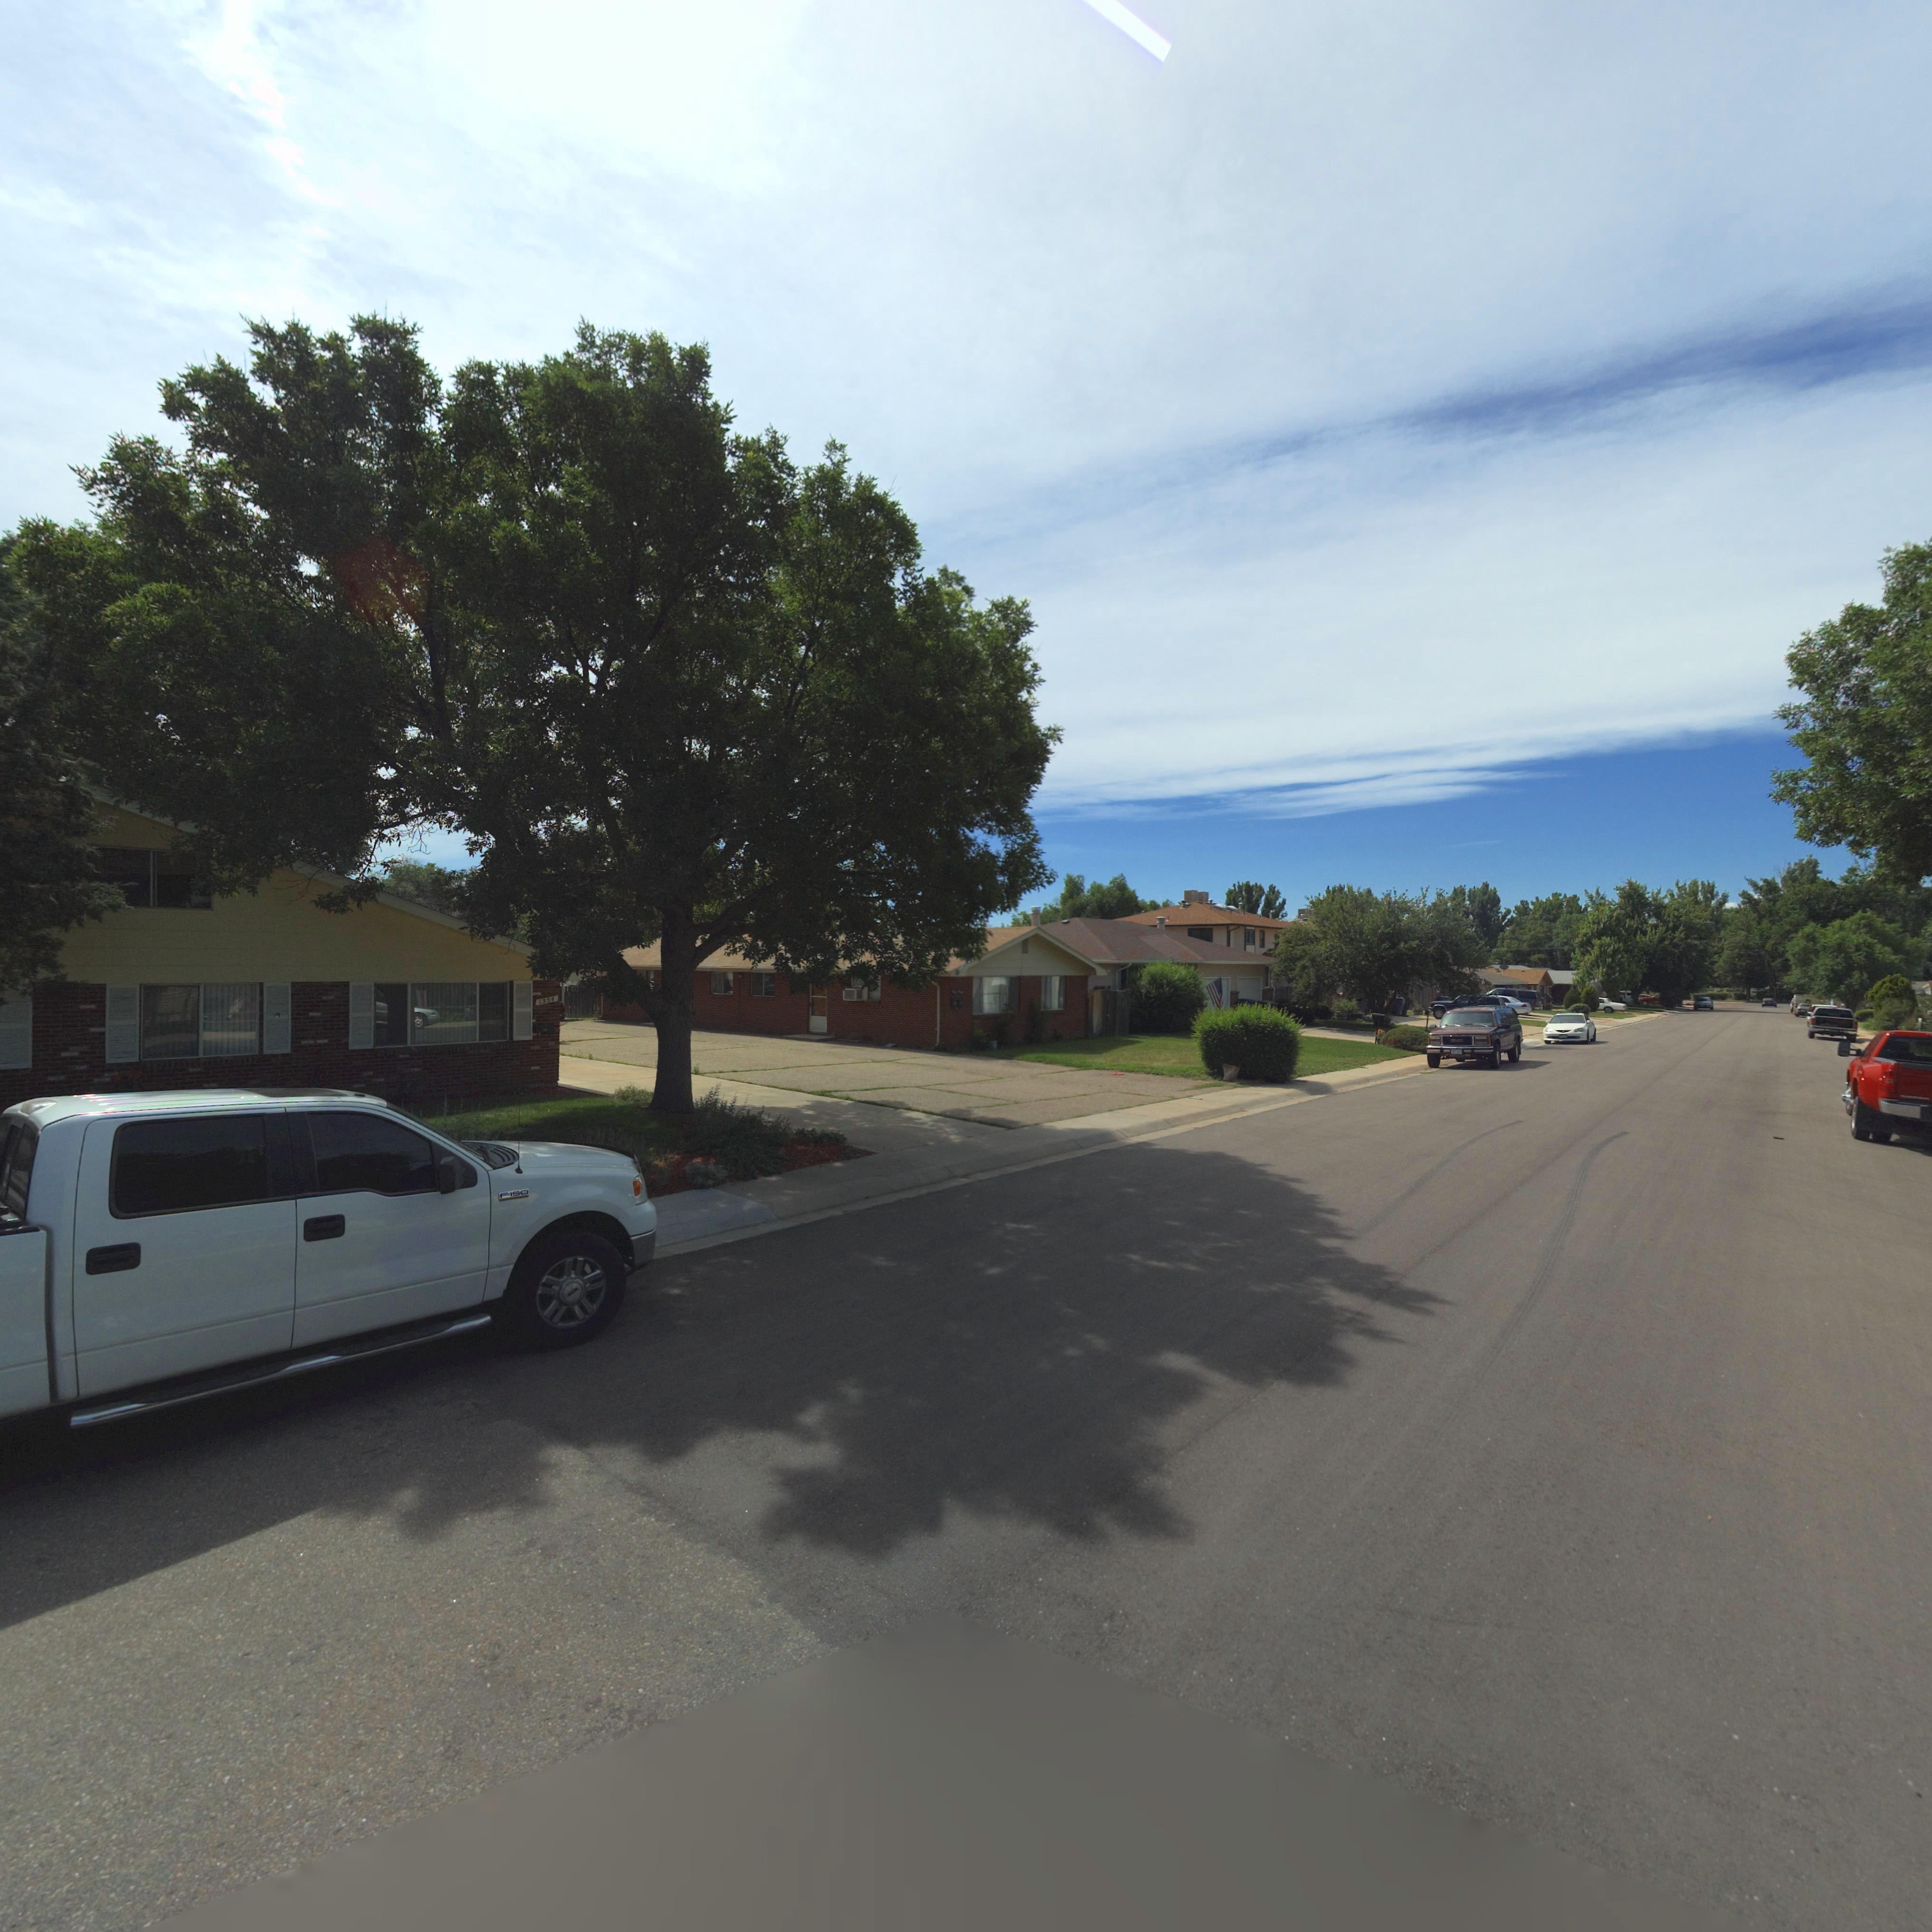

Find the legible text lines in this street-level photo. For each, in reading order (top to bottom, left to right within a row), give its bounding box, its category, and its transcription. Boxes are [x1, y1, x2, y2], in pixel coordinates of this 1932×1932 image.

[538, 996, 554, 1005] StreetNumber: 1354